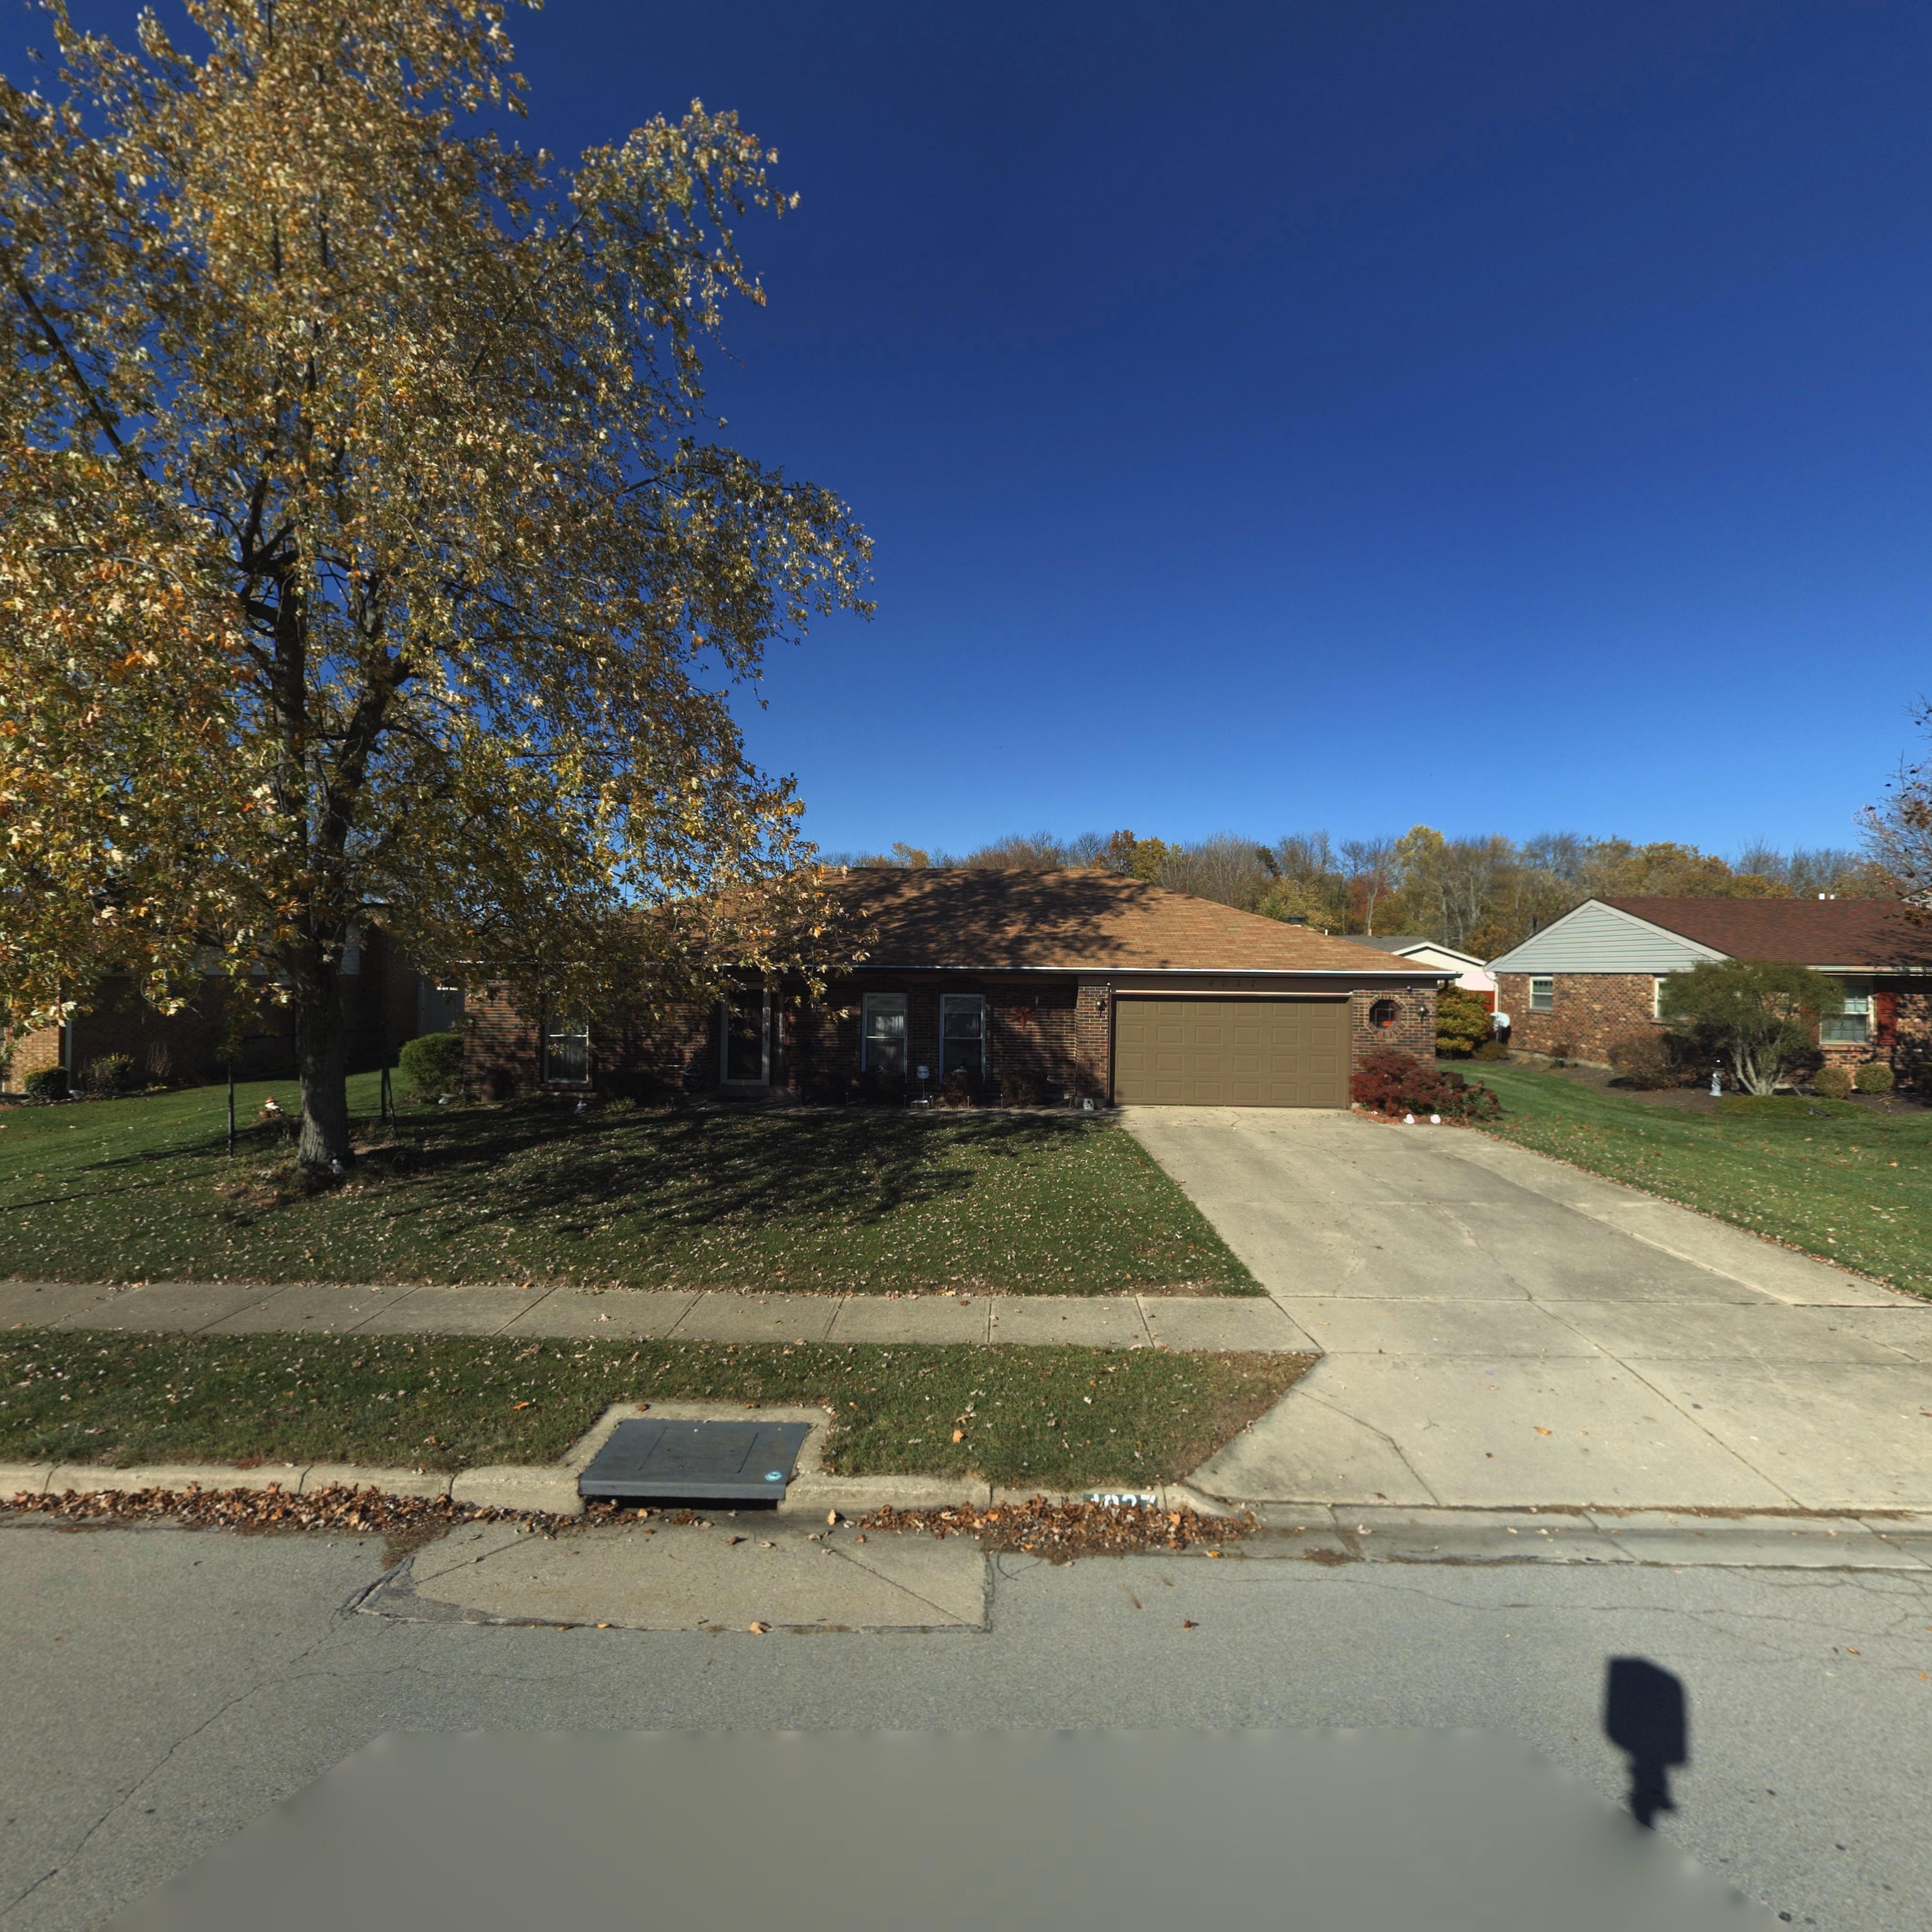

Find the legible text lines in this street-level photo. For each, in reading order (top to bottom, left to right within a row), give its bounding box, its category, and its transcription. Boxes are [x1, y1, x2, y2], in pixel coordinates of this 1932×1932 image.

[1207, 979, 1257, 987] StreetNumber: 4027